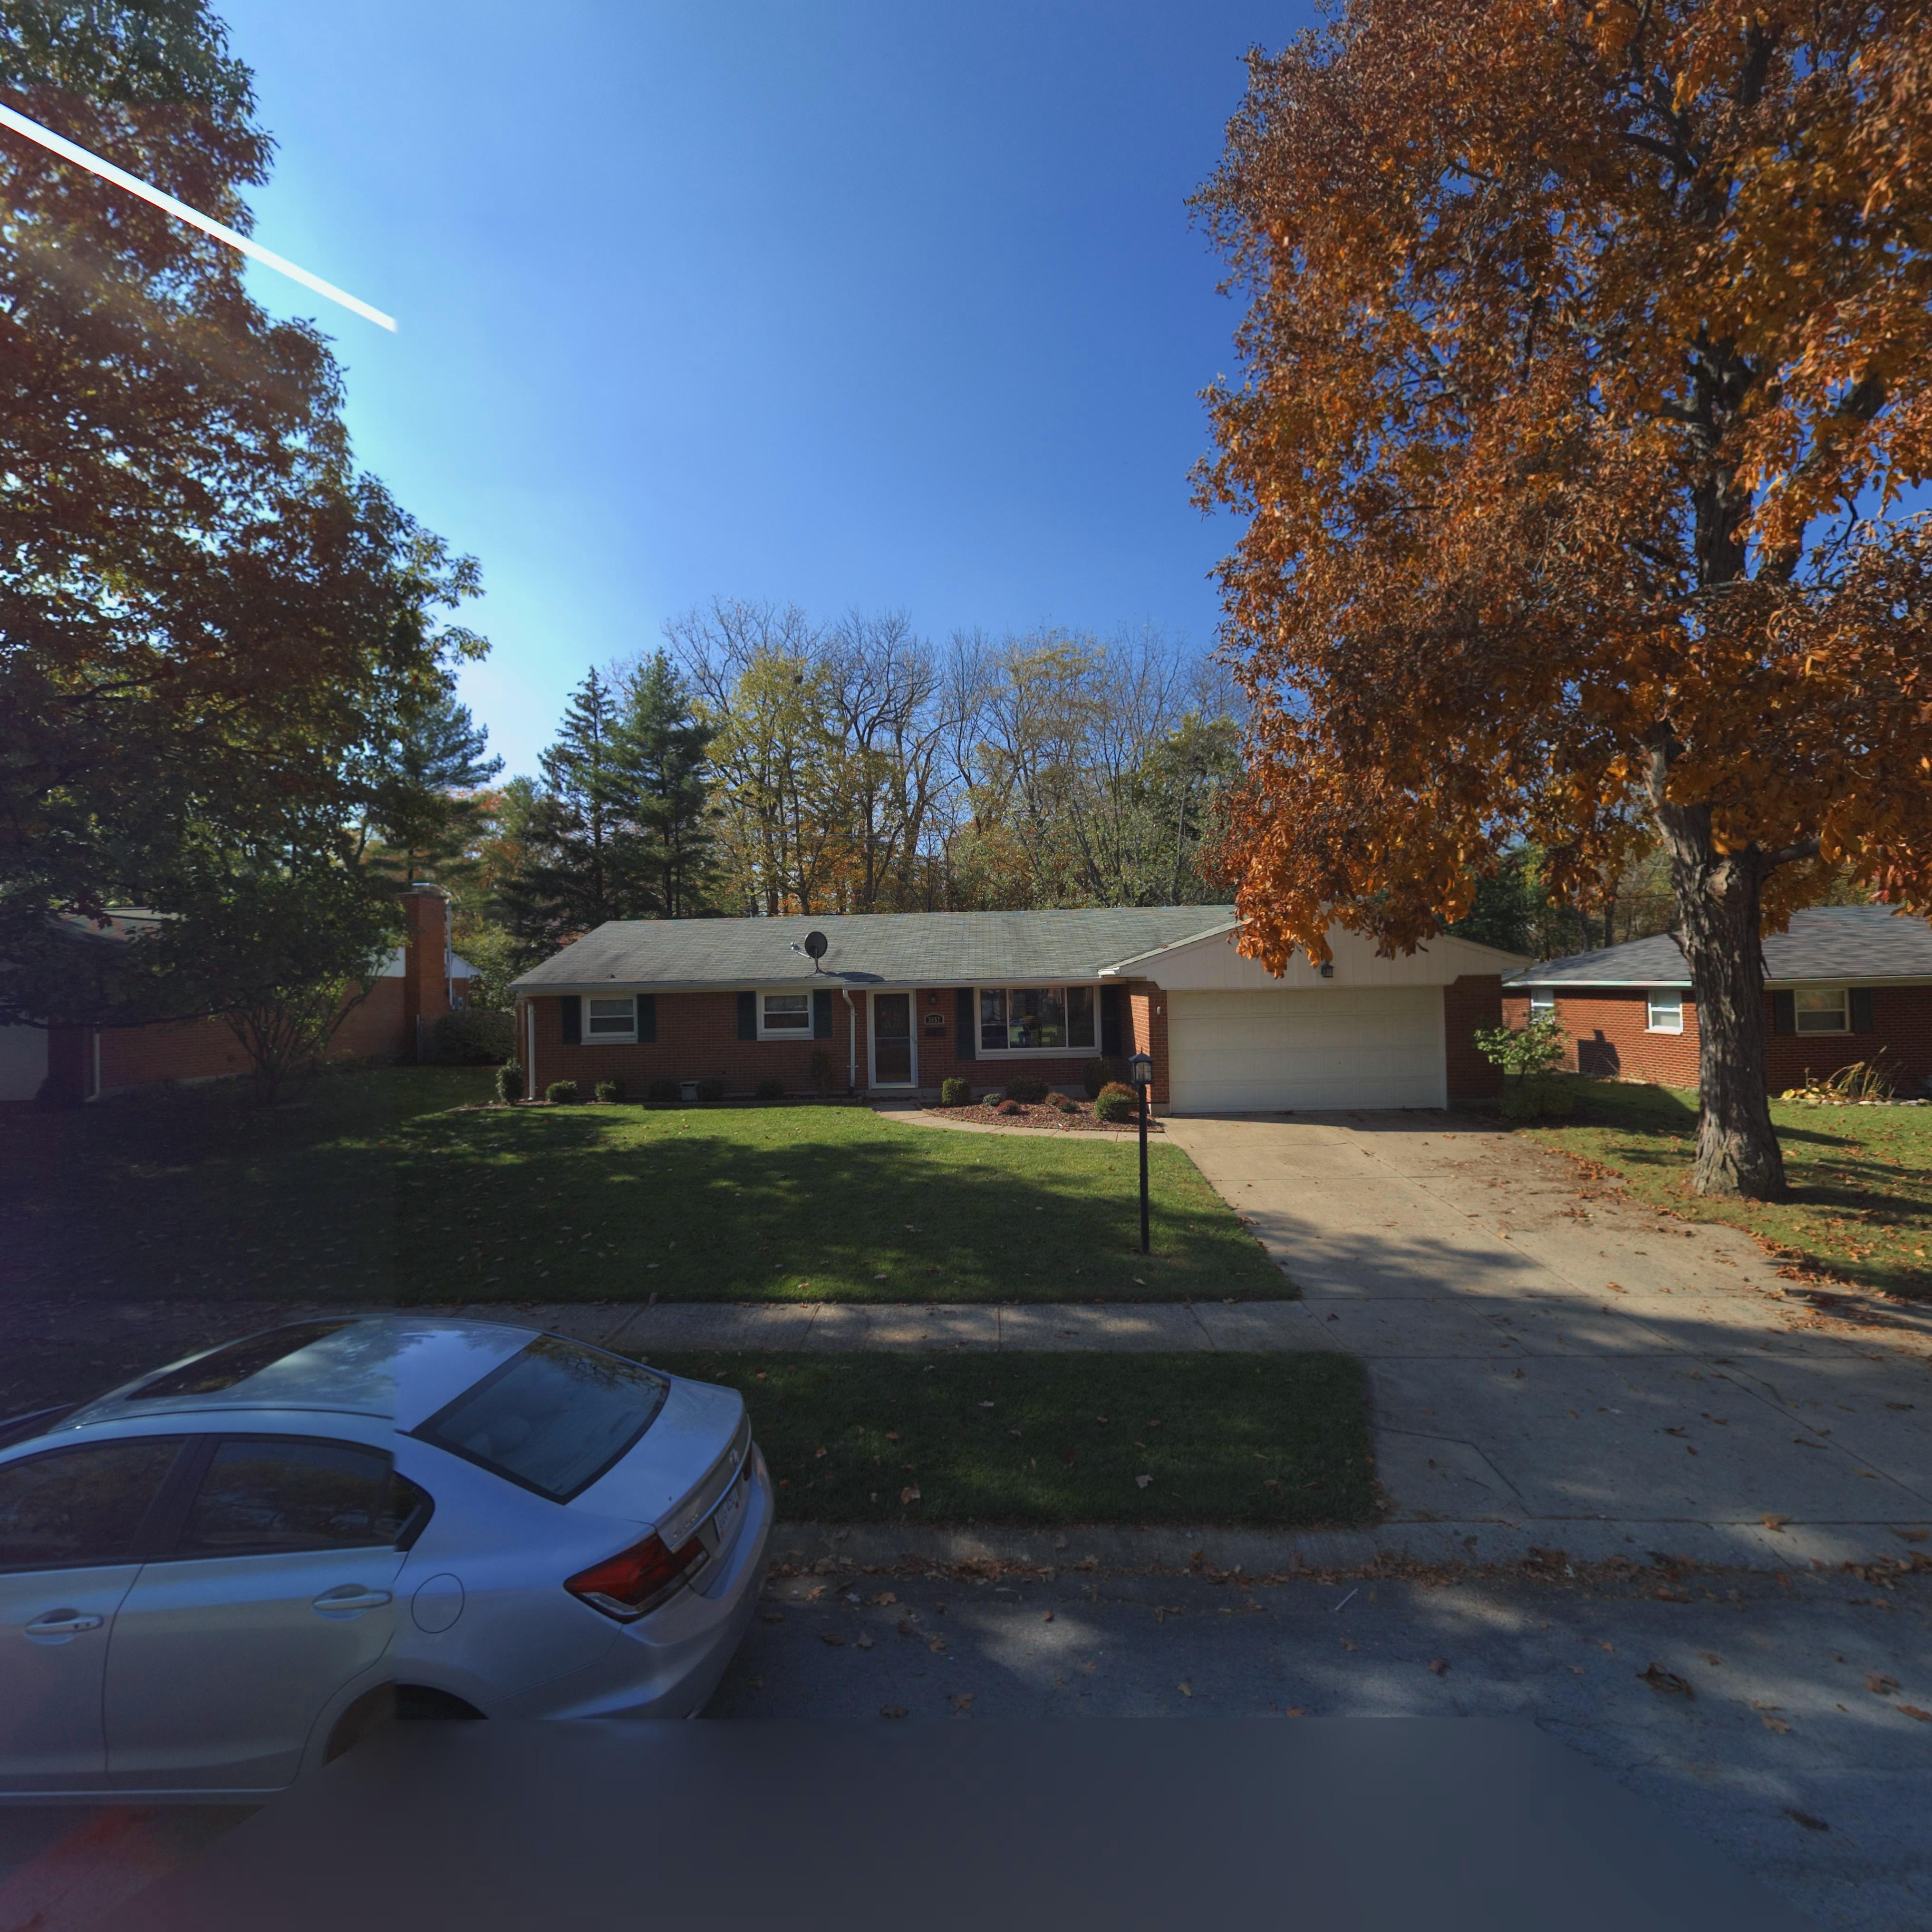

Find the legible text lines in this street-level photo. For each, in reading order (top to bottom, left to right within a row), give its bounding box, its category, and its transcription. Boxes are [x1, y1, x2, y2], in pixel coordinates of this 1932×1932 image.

[927, 1016, 941, 1024] StreetNumber: 3657